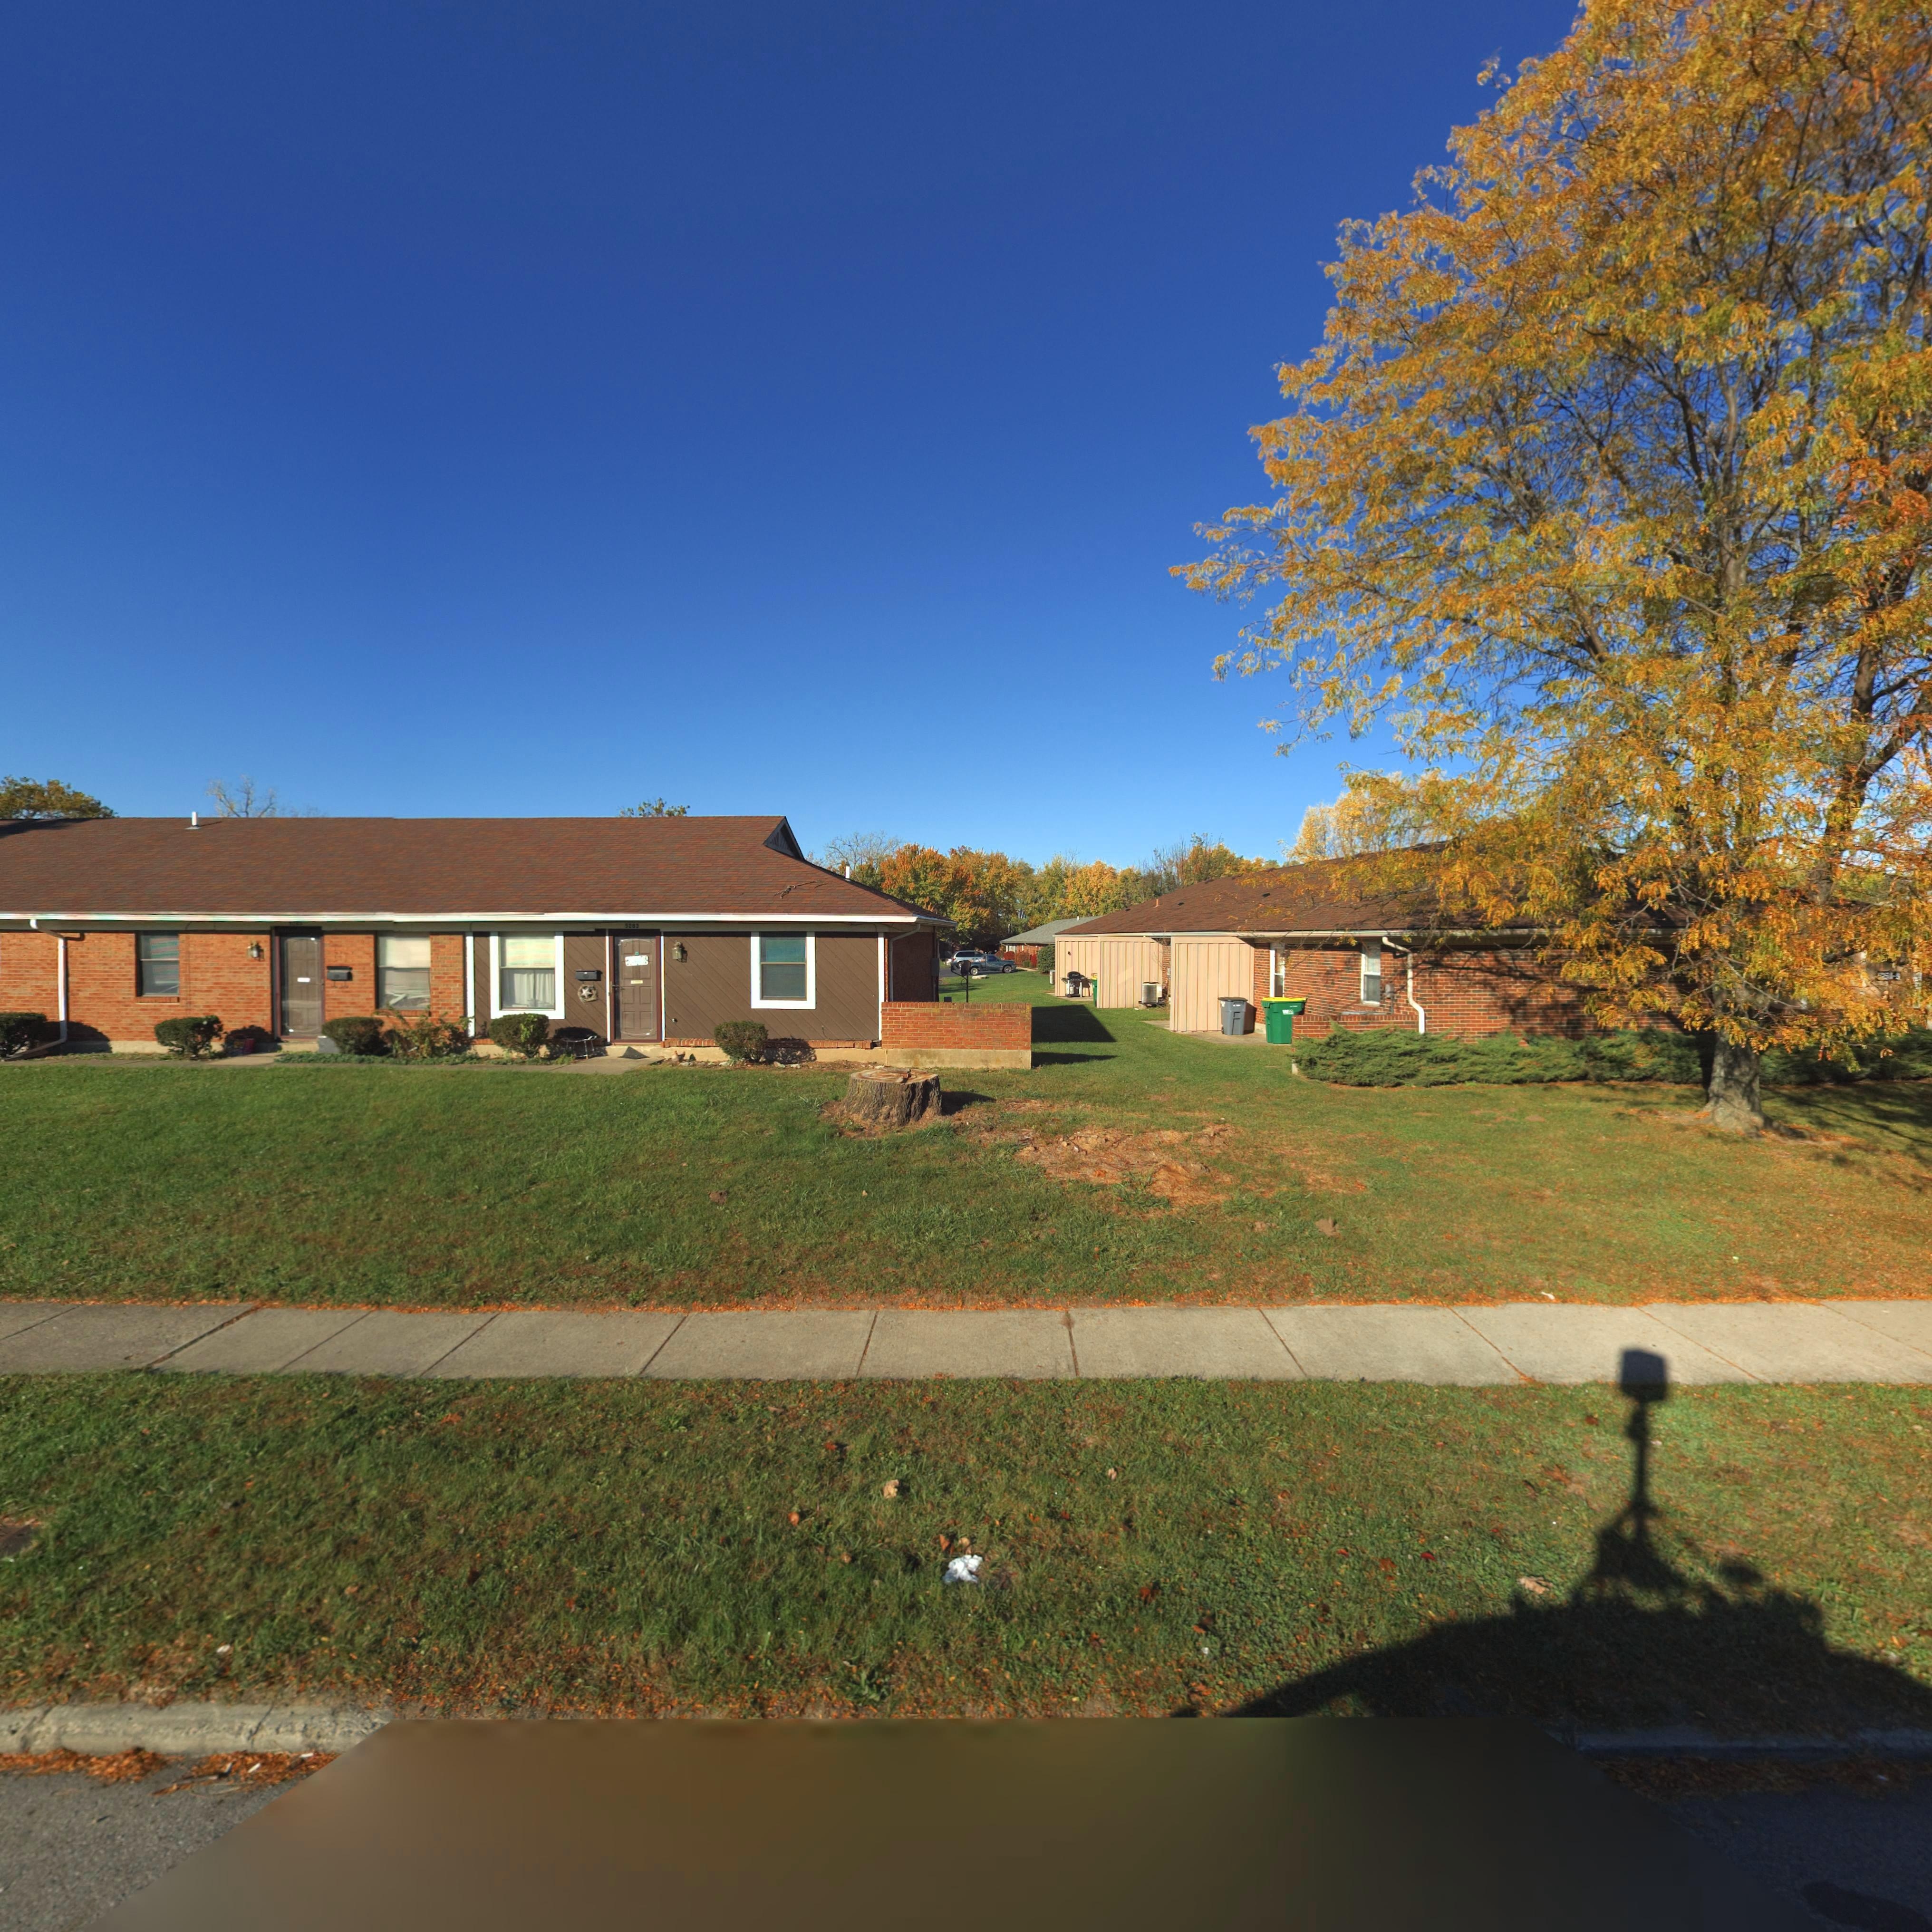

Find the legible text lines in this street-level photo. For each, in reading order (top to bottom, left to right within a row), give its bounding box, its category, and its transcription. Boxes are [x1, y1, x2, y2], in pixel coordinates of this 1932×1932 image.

[287, 921, 302, 926] StreetNumber: 5285
[624, 922, 640, 928] StreetNumber: 5283